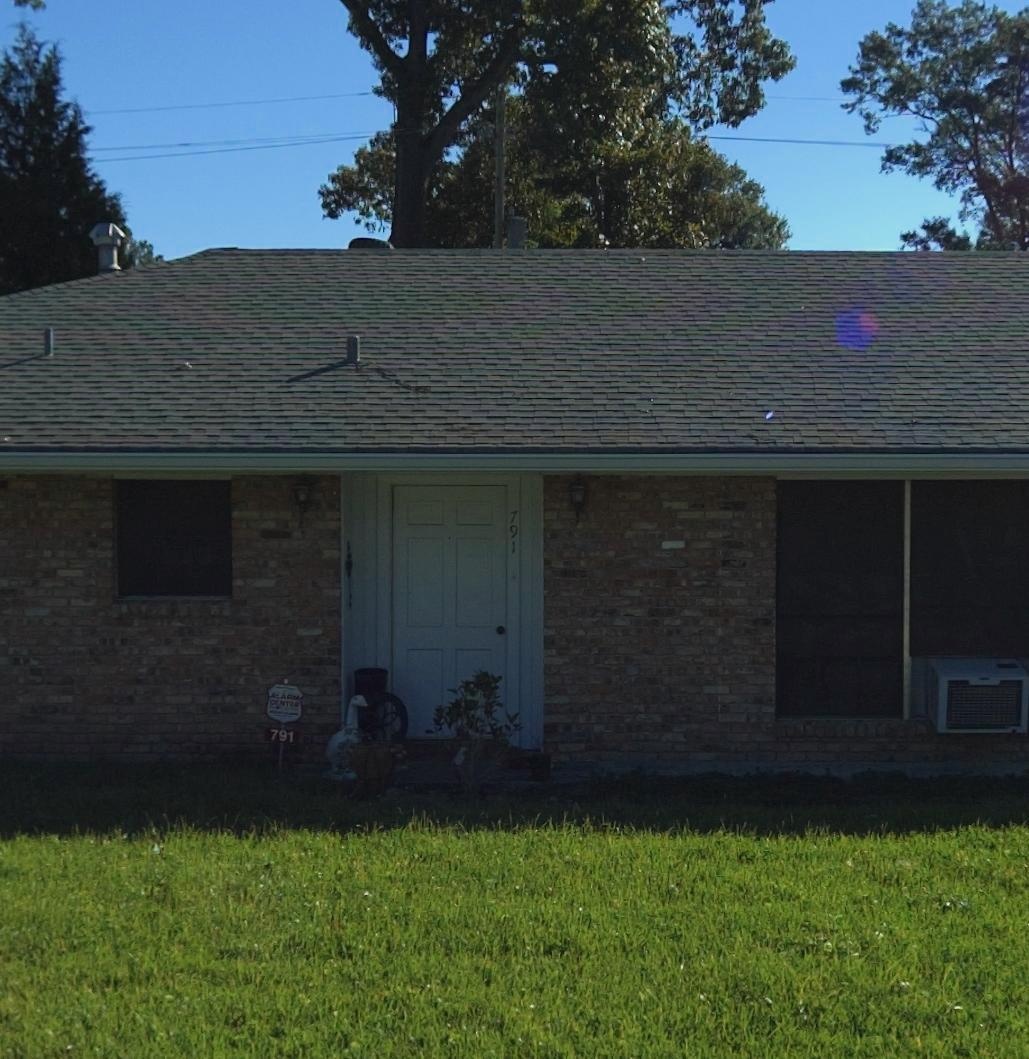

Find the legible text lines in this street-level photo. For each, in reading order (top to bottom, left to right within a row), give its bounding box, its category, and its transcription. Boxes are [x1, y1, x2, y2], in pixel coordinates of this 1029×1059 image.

[507, 507, 521, 556] StreetNumber: 791
[268, 726, 296, 745] StreetNumber: 791